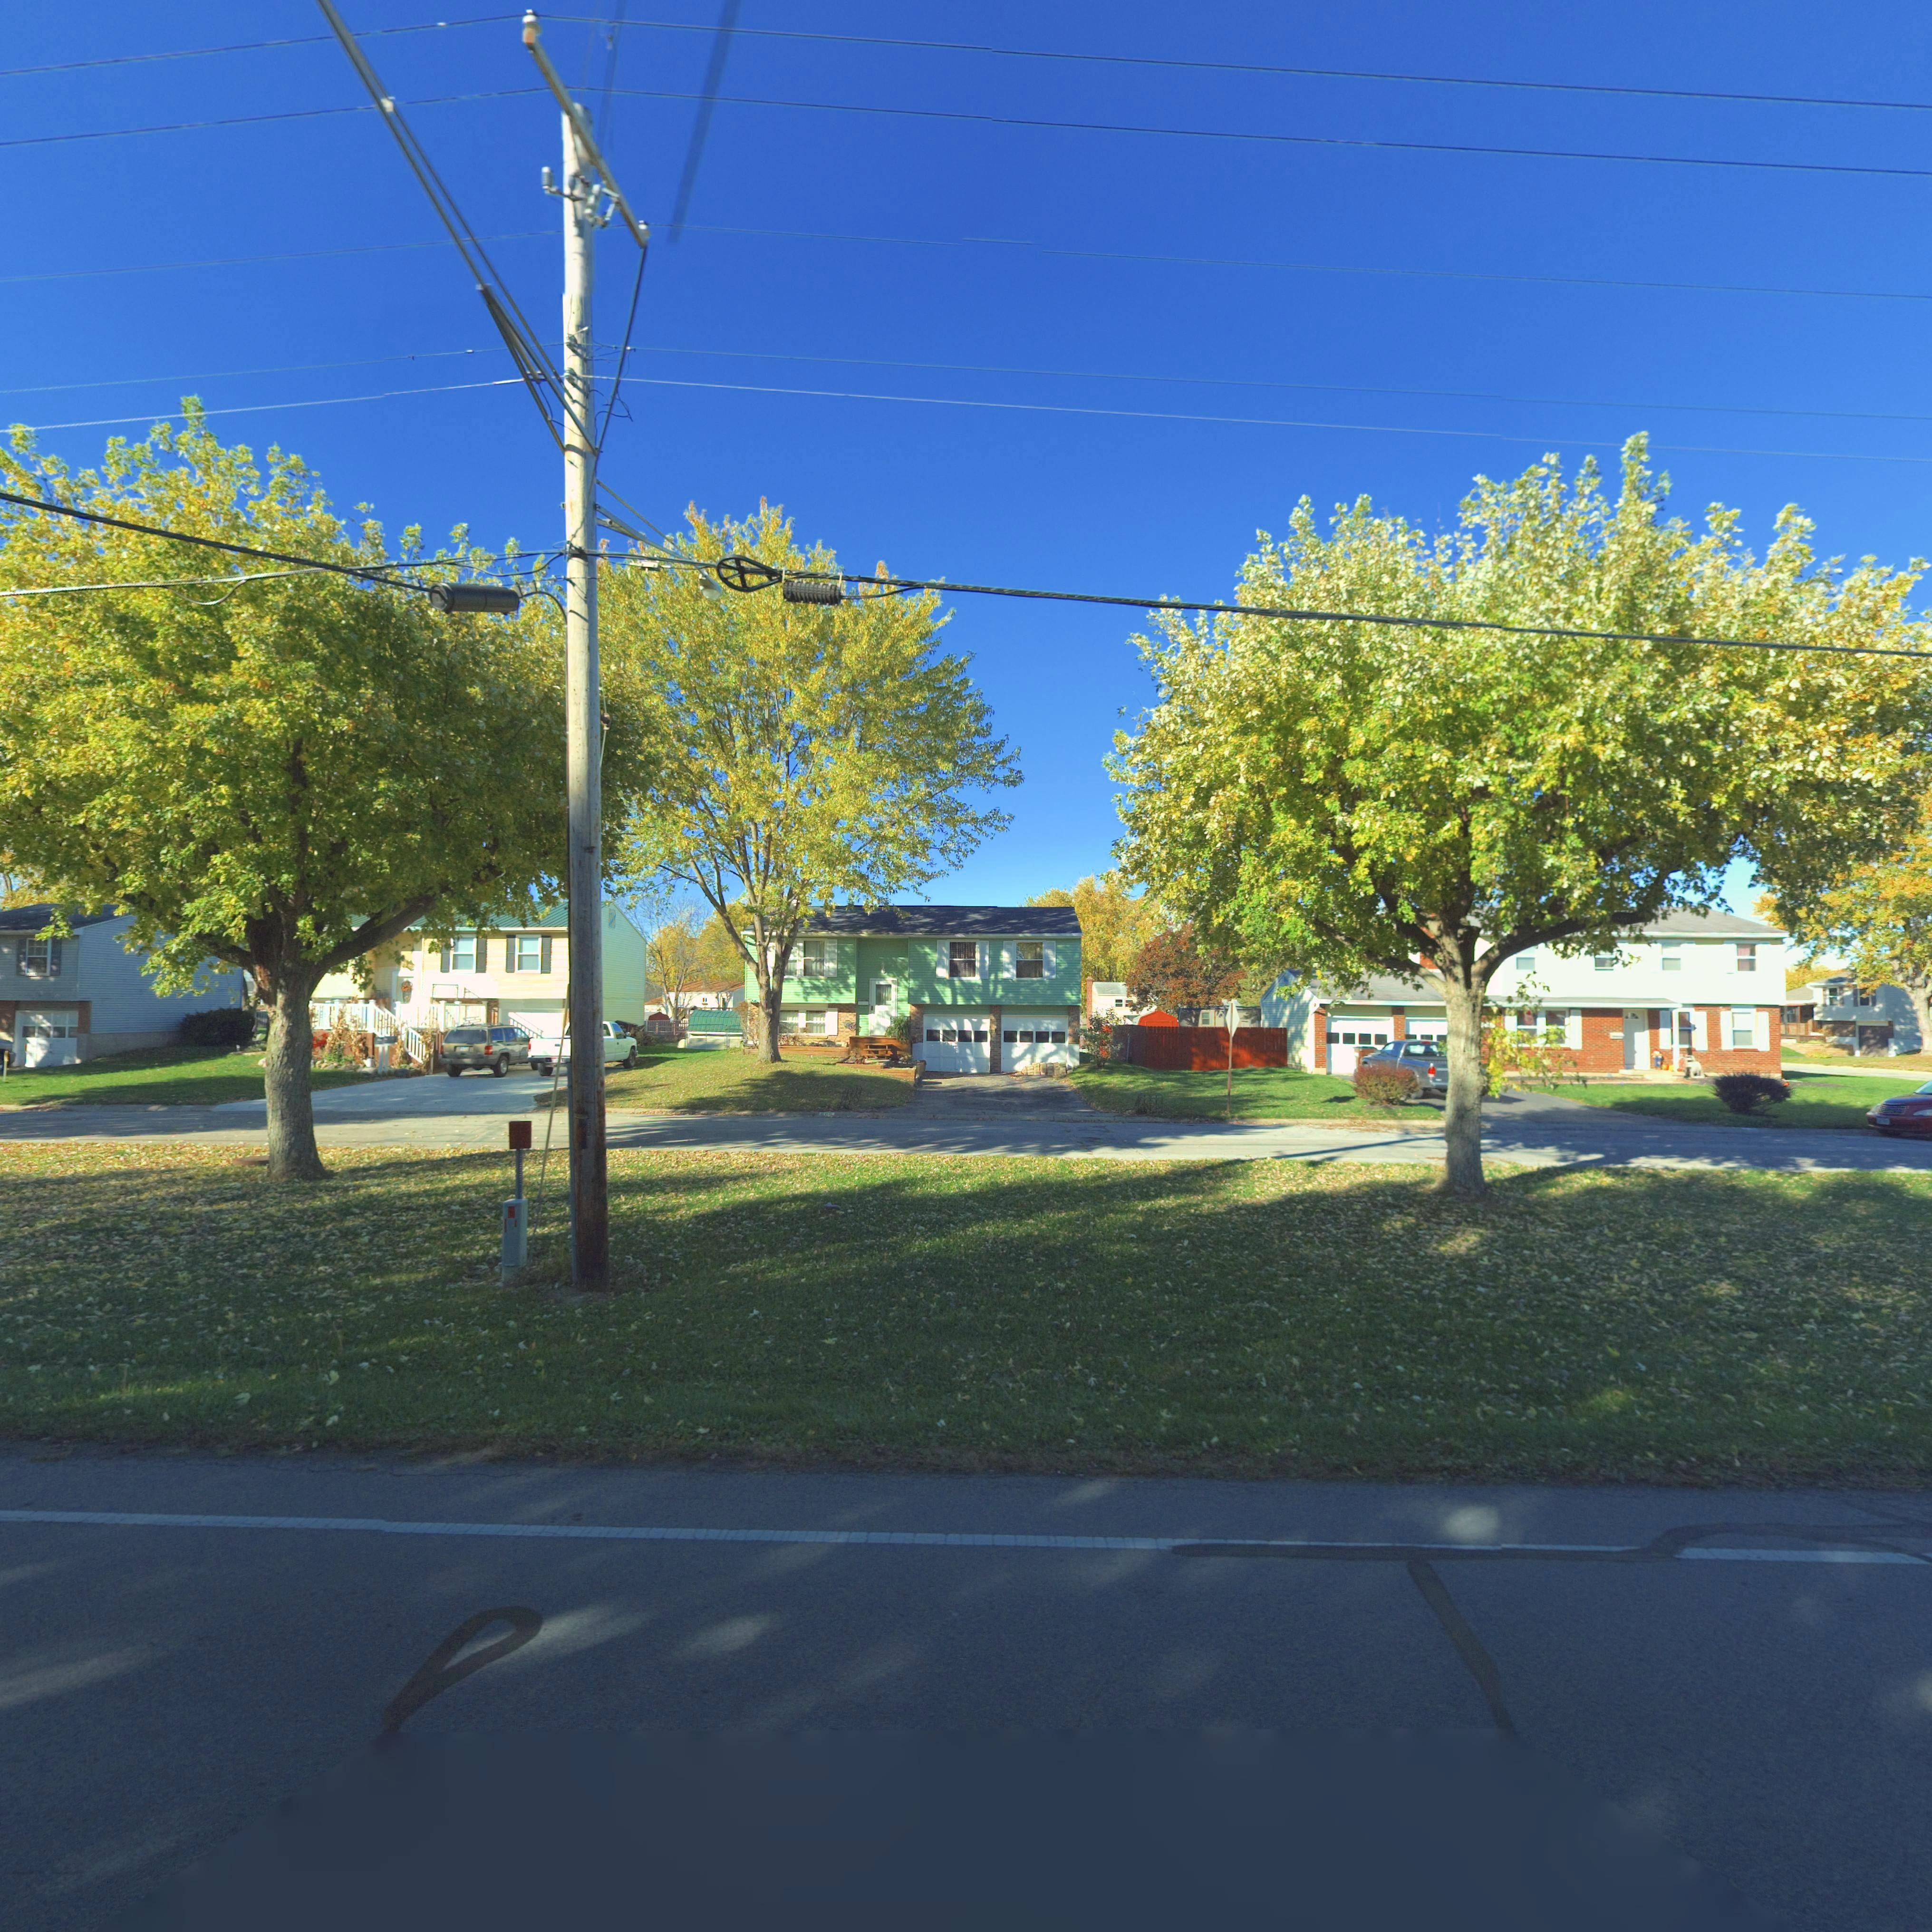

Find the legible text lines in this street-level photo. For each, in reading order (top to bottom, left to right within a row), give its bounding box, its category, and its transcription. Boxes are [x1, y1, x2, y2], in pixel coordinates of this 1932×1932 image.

[1069, 1015, 1079, 1034] StreetNumber: 6*6